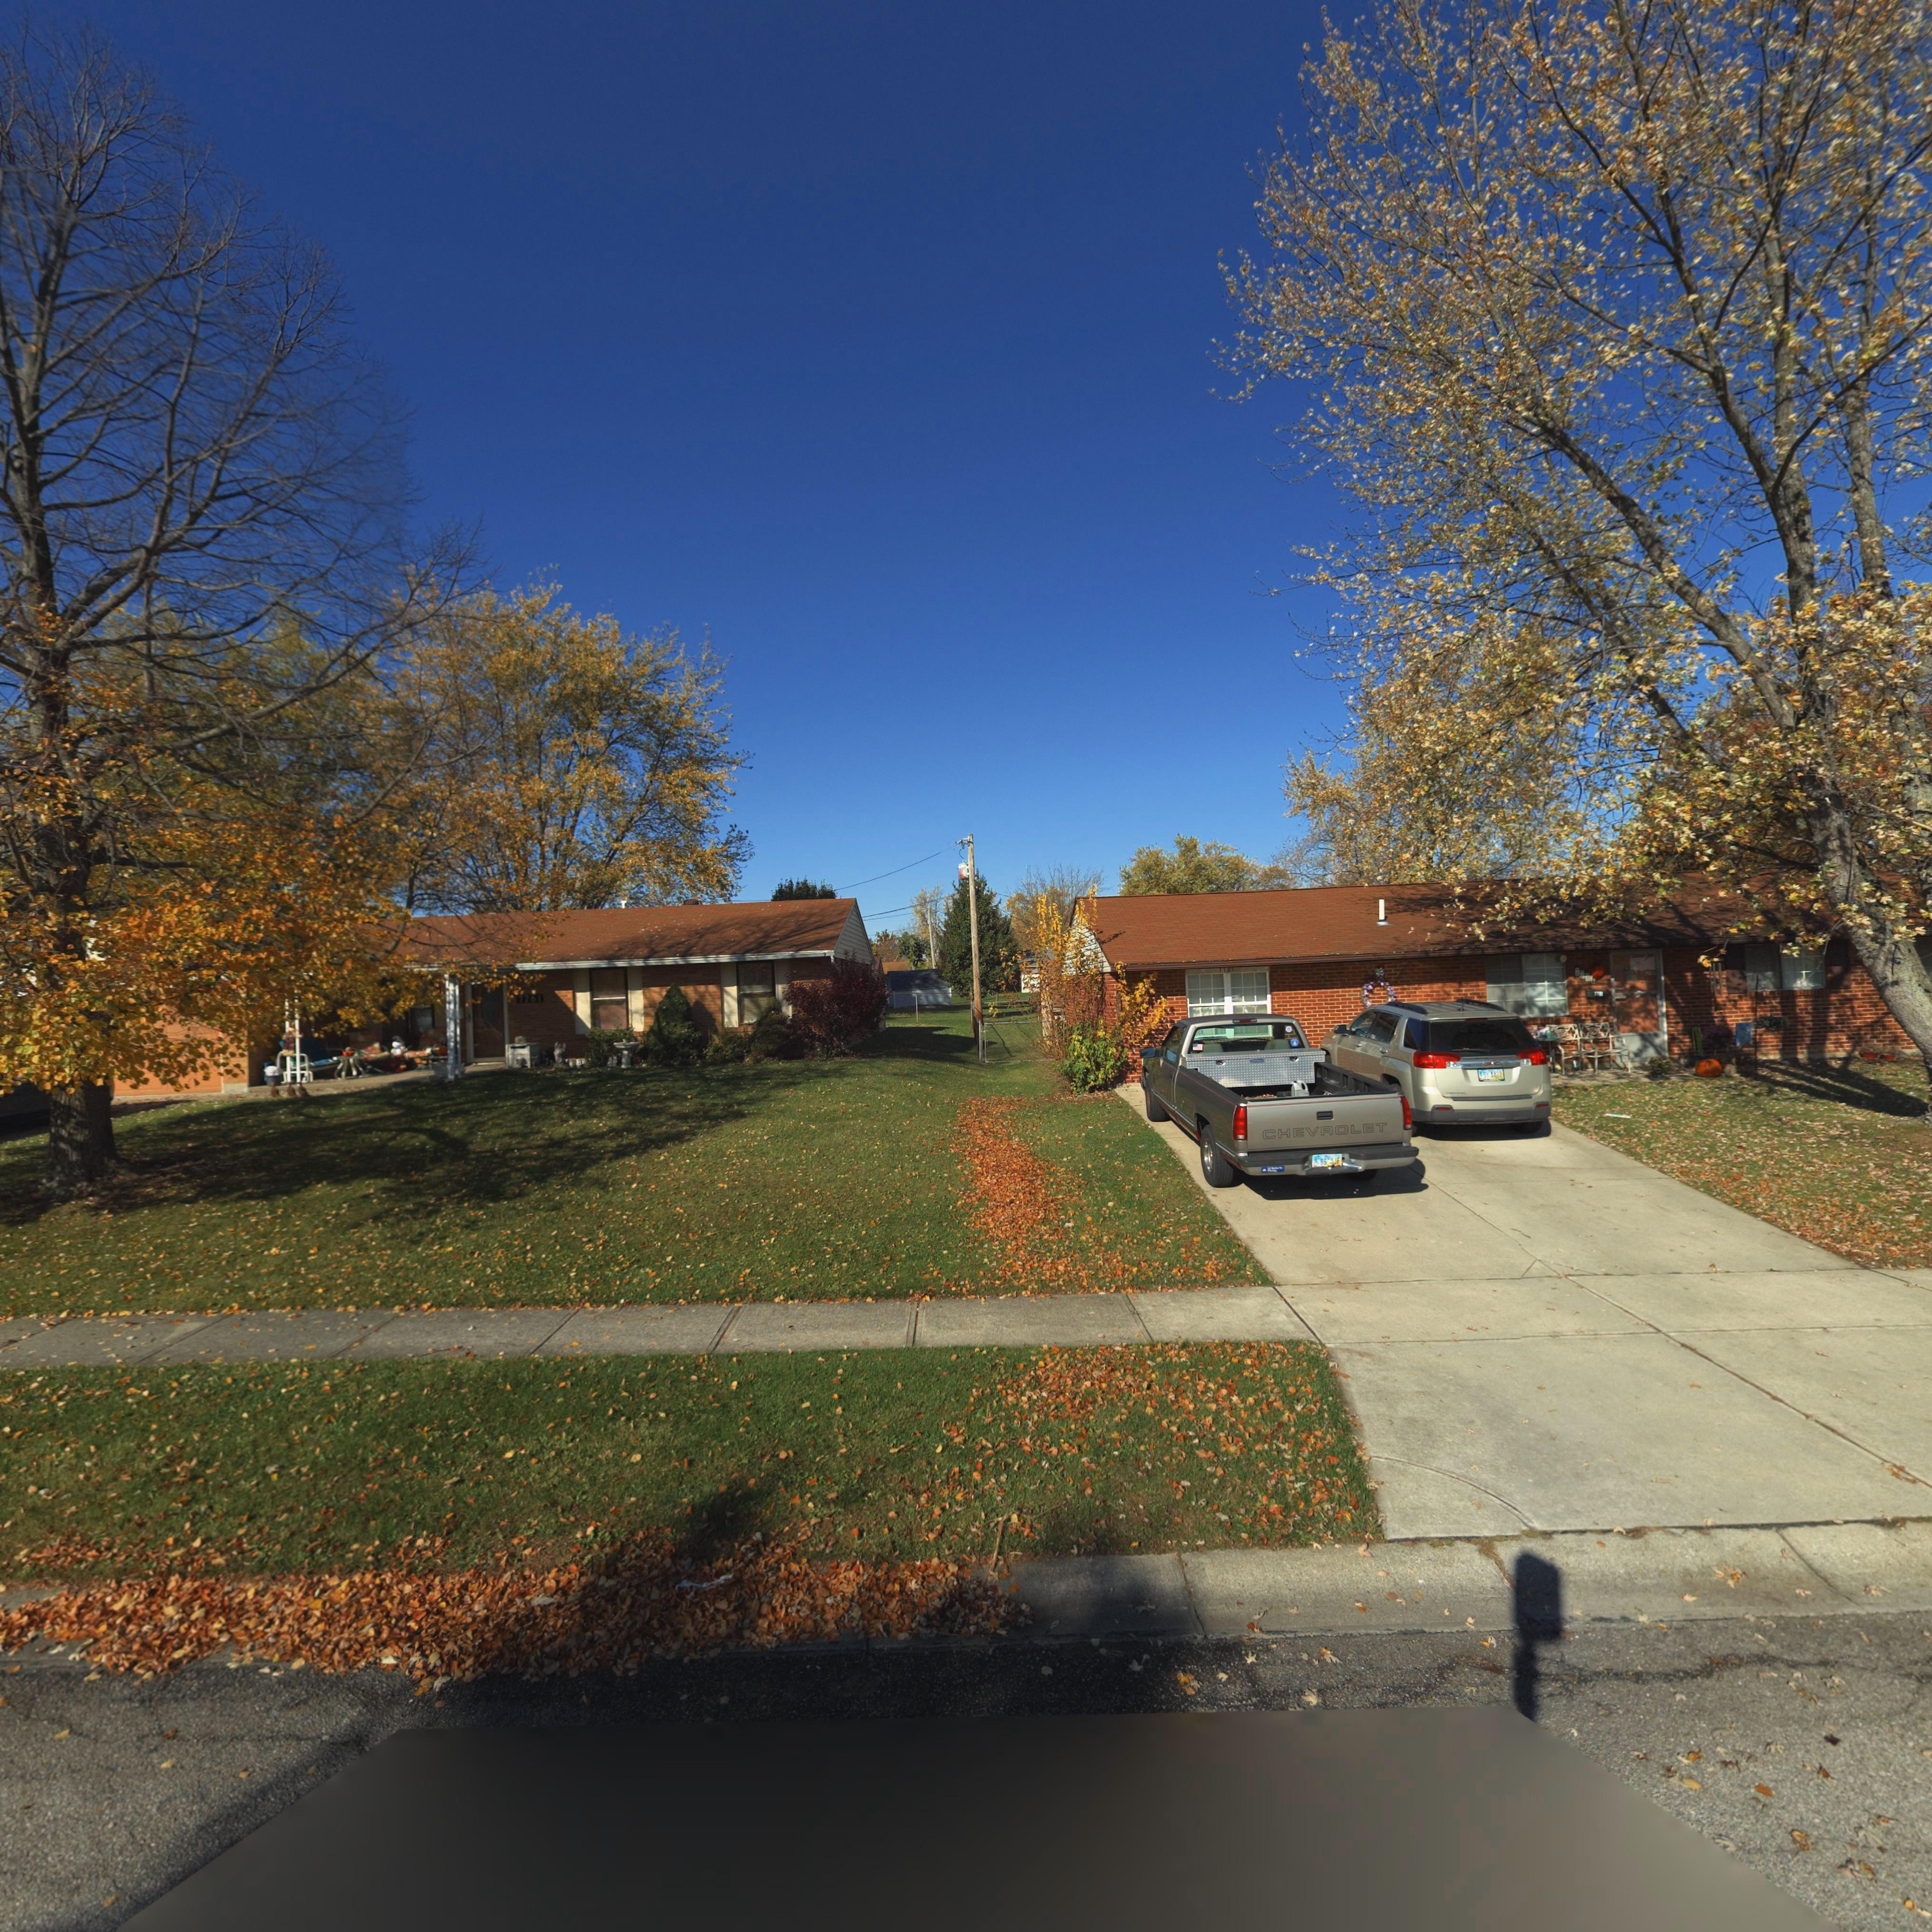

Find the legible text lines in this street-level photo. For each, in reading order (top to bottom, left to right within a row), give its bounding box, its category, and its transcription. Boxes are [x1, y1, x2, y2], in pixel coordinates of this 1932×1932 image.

[1218, 966, 1236, 973] StreetNumber: 77*1
[1574, 967, 1596, 985] StreetNumber: 7***
[517, 994, 542, 1004] StreetNumber: 7761